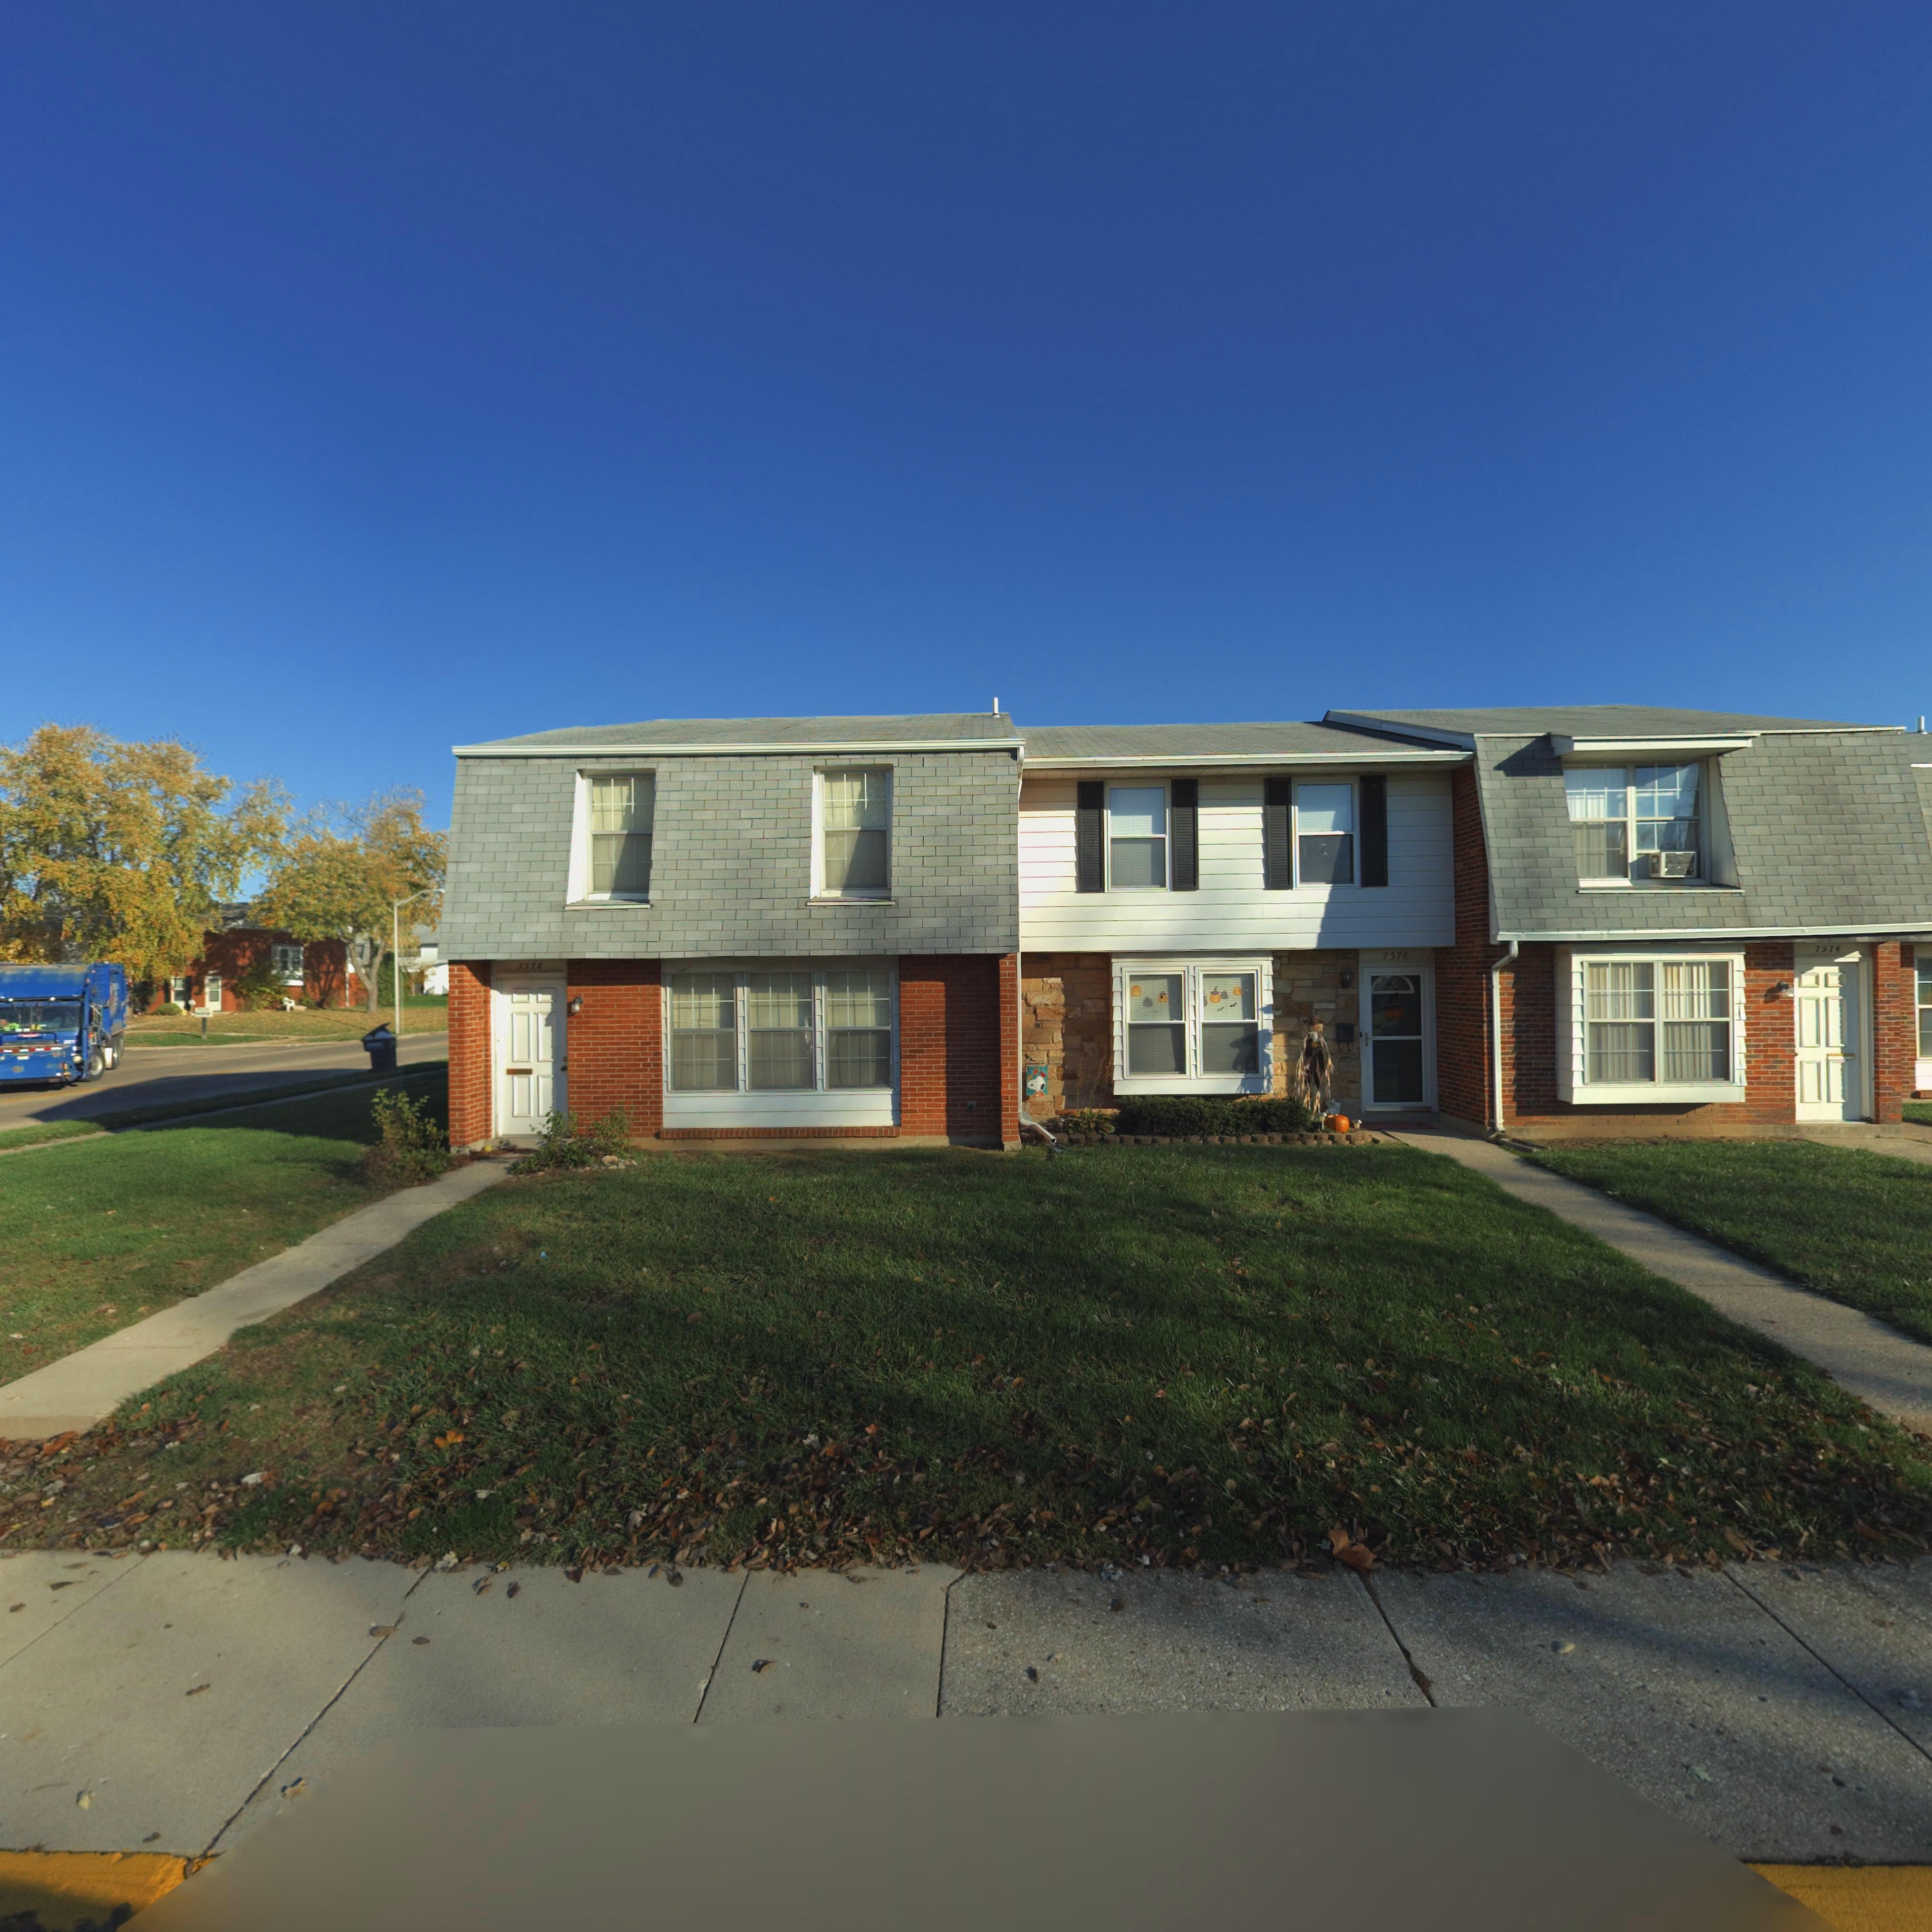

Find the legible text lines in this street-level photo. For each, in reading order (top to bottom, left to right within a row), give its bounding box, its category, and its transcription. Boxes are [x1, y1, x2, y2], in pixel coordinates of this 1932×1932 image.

[1815, 944, 1842, 954] StreetNumber: 7574
[1382, 951, 1410, 961] StreetNumber: 7576
[518, 961, 544, 971] StreetNumber: 7578